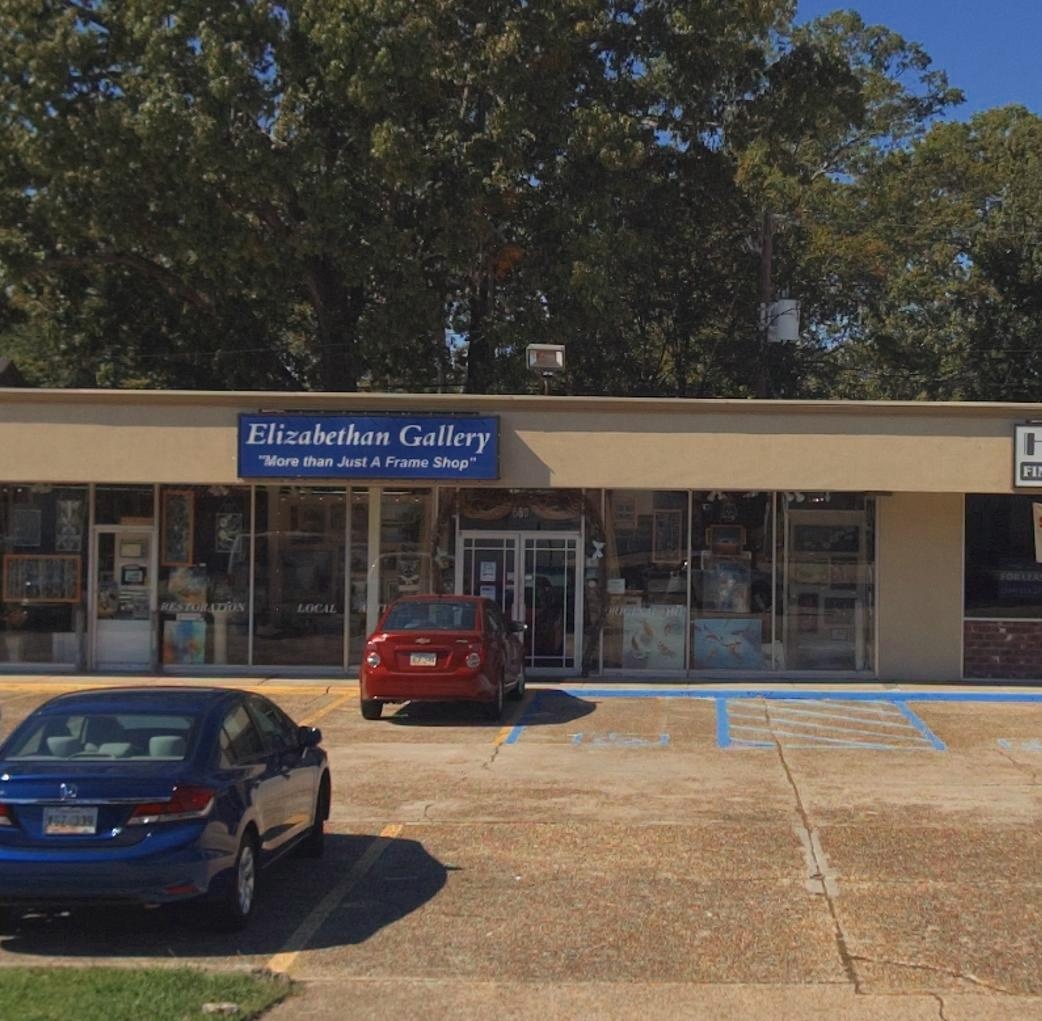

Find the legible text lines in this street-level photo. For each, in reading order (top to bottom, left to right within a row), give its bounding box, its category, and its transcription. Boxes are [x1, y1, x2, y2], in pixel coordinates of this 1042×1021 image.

[241, 418, 495, 456] BusinessName: Elizabethan Gallery
[260, 452, 471, 474] None: More than Just A Frame Shop
[1021, 463, 1039, 480] None: FI\
[511, 504, 531, 520] StreetNumber: 680
[157, 598, 249, 615] None: RESTORATION
[293, 601, 339, 615] None: LOCAL
[69, 812, 96, 829] None: 339